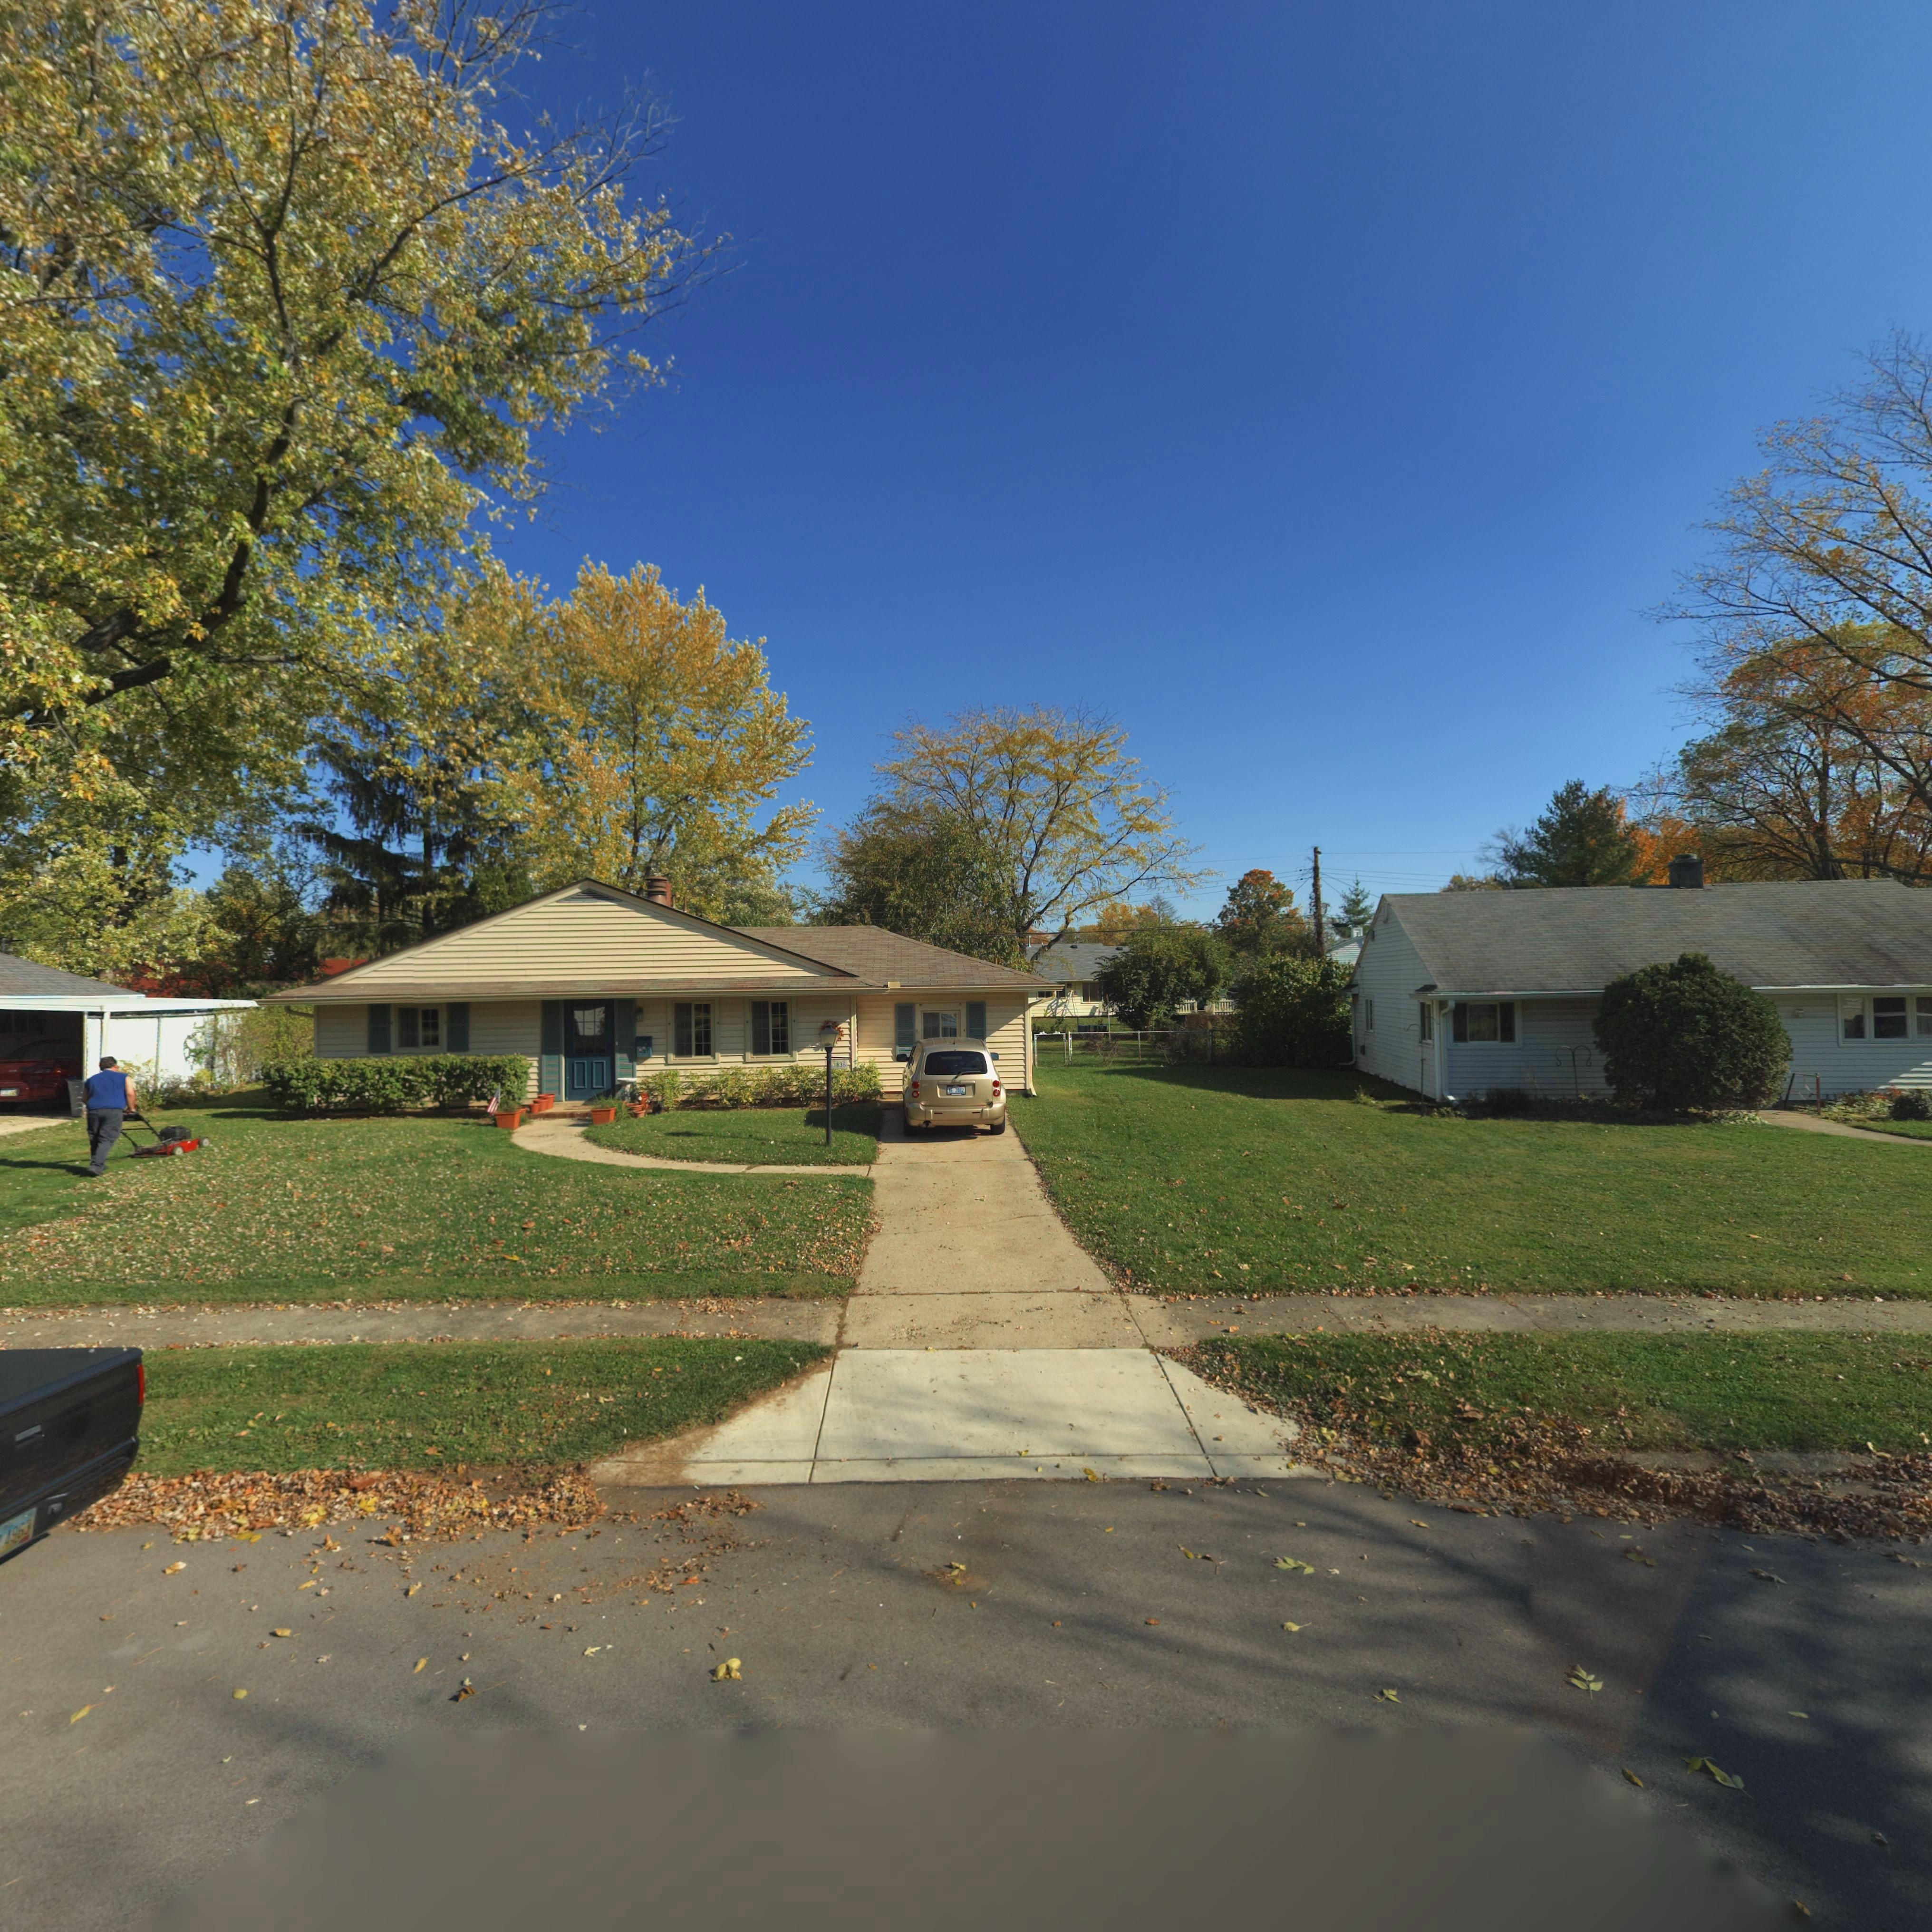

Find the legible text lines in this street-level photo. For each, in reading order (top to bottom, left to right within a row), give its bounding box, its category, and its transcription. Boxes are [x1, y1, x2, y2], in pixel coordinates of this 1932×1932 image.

[831, 1062, 846, 1068] StreetNumber: 3836